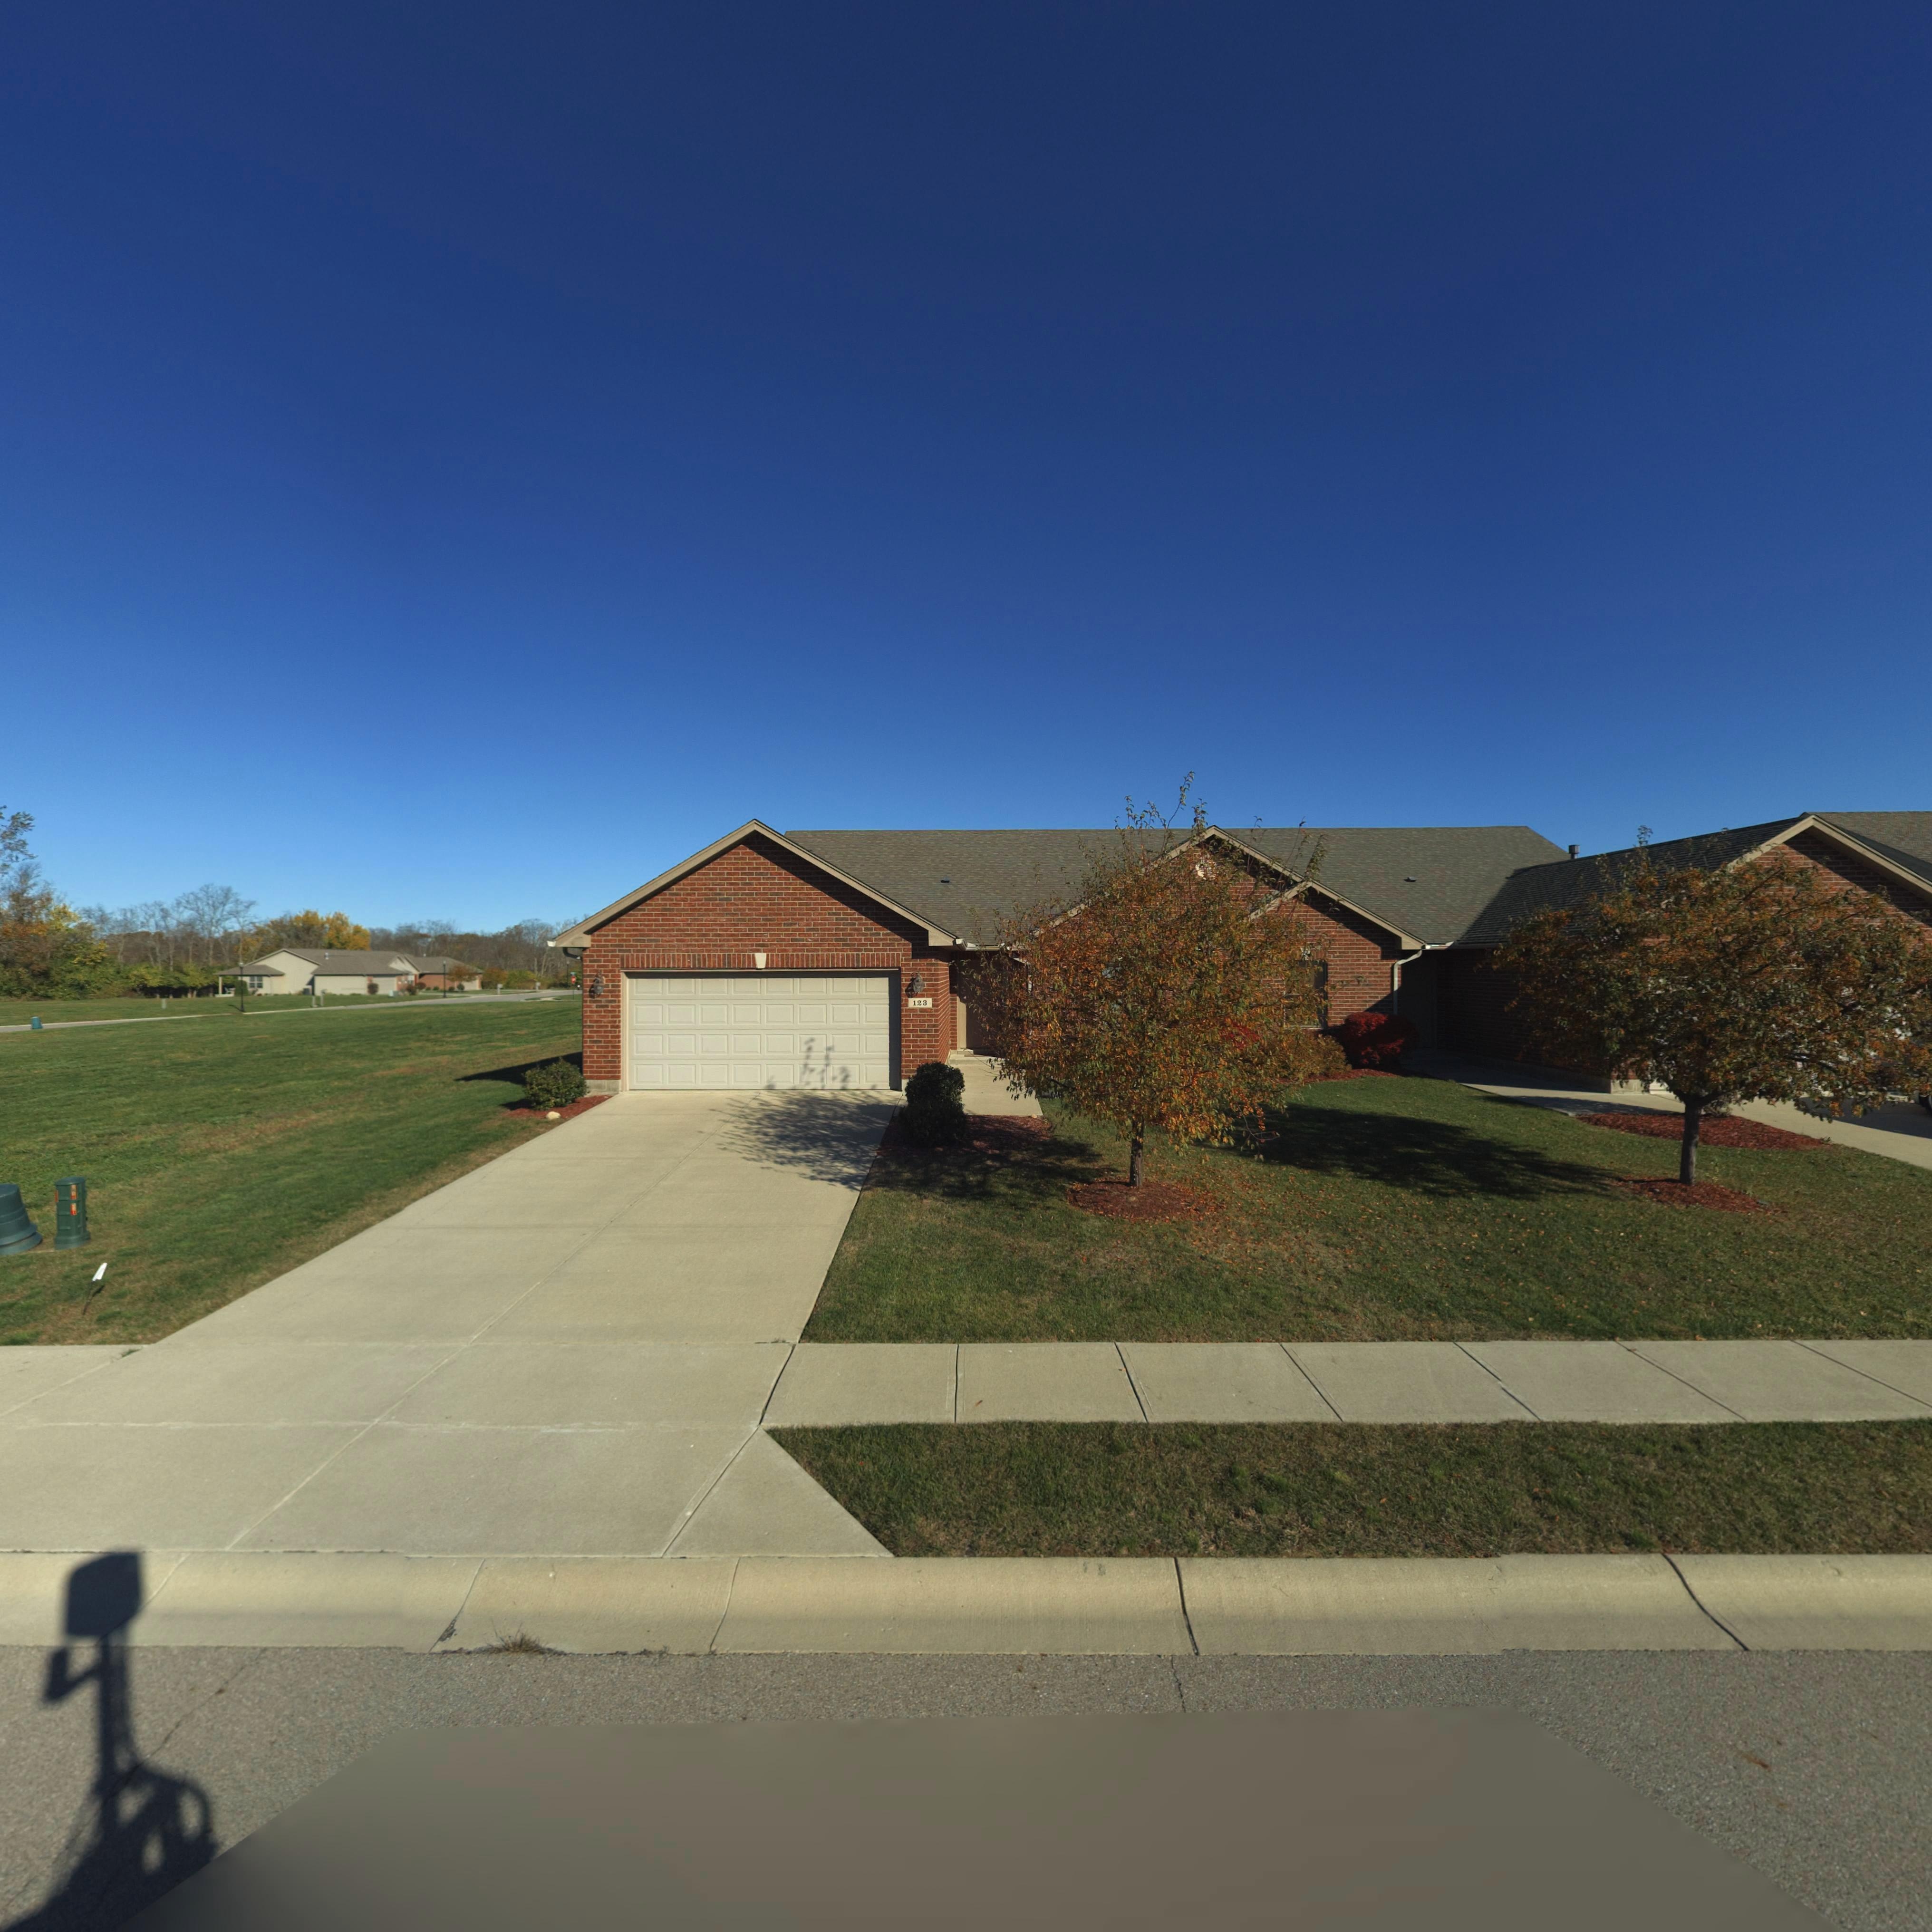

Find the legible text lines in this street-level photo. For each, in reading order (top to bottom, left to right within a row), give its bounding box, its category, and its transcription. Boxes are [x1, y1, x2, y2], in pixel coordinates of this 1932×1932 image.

[912, 999, 928, 1006] StreetNumber: 123